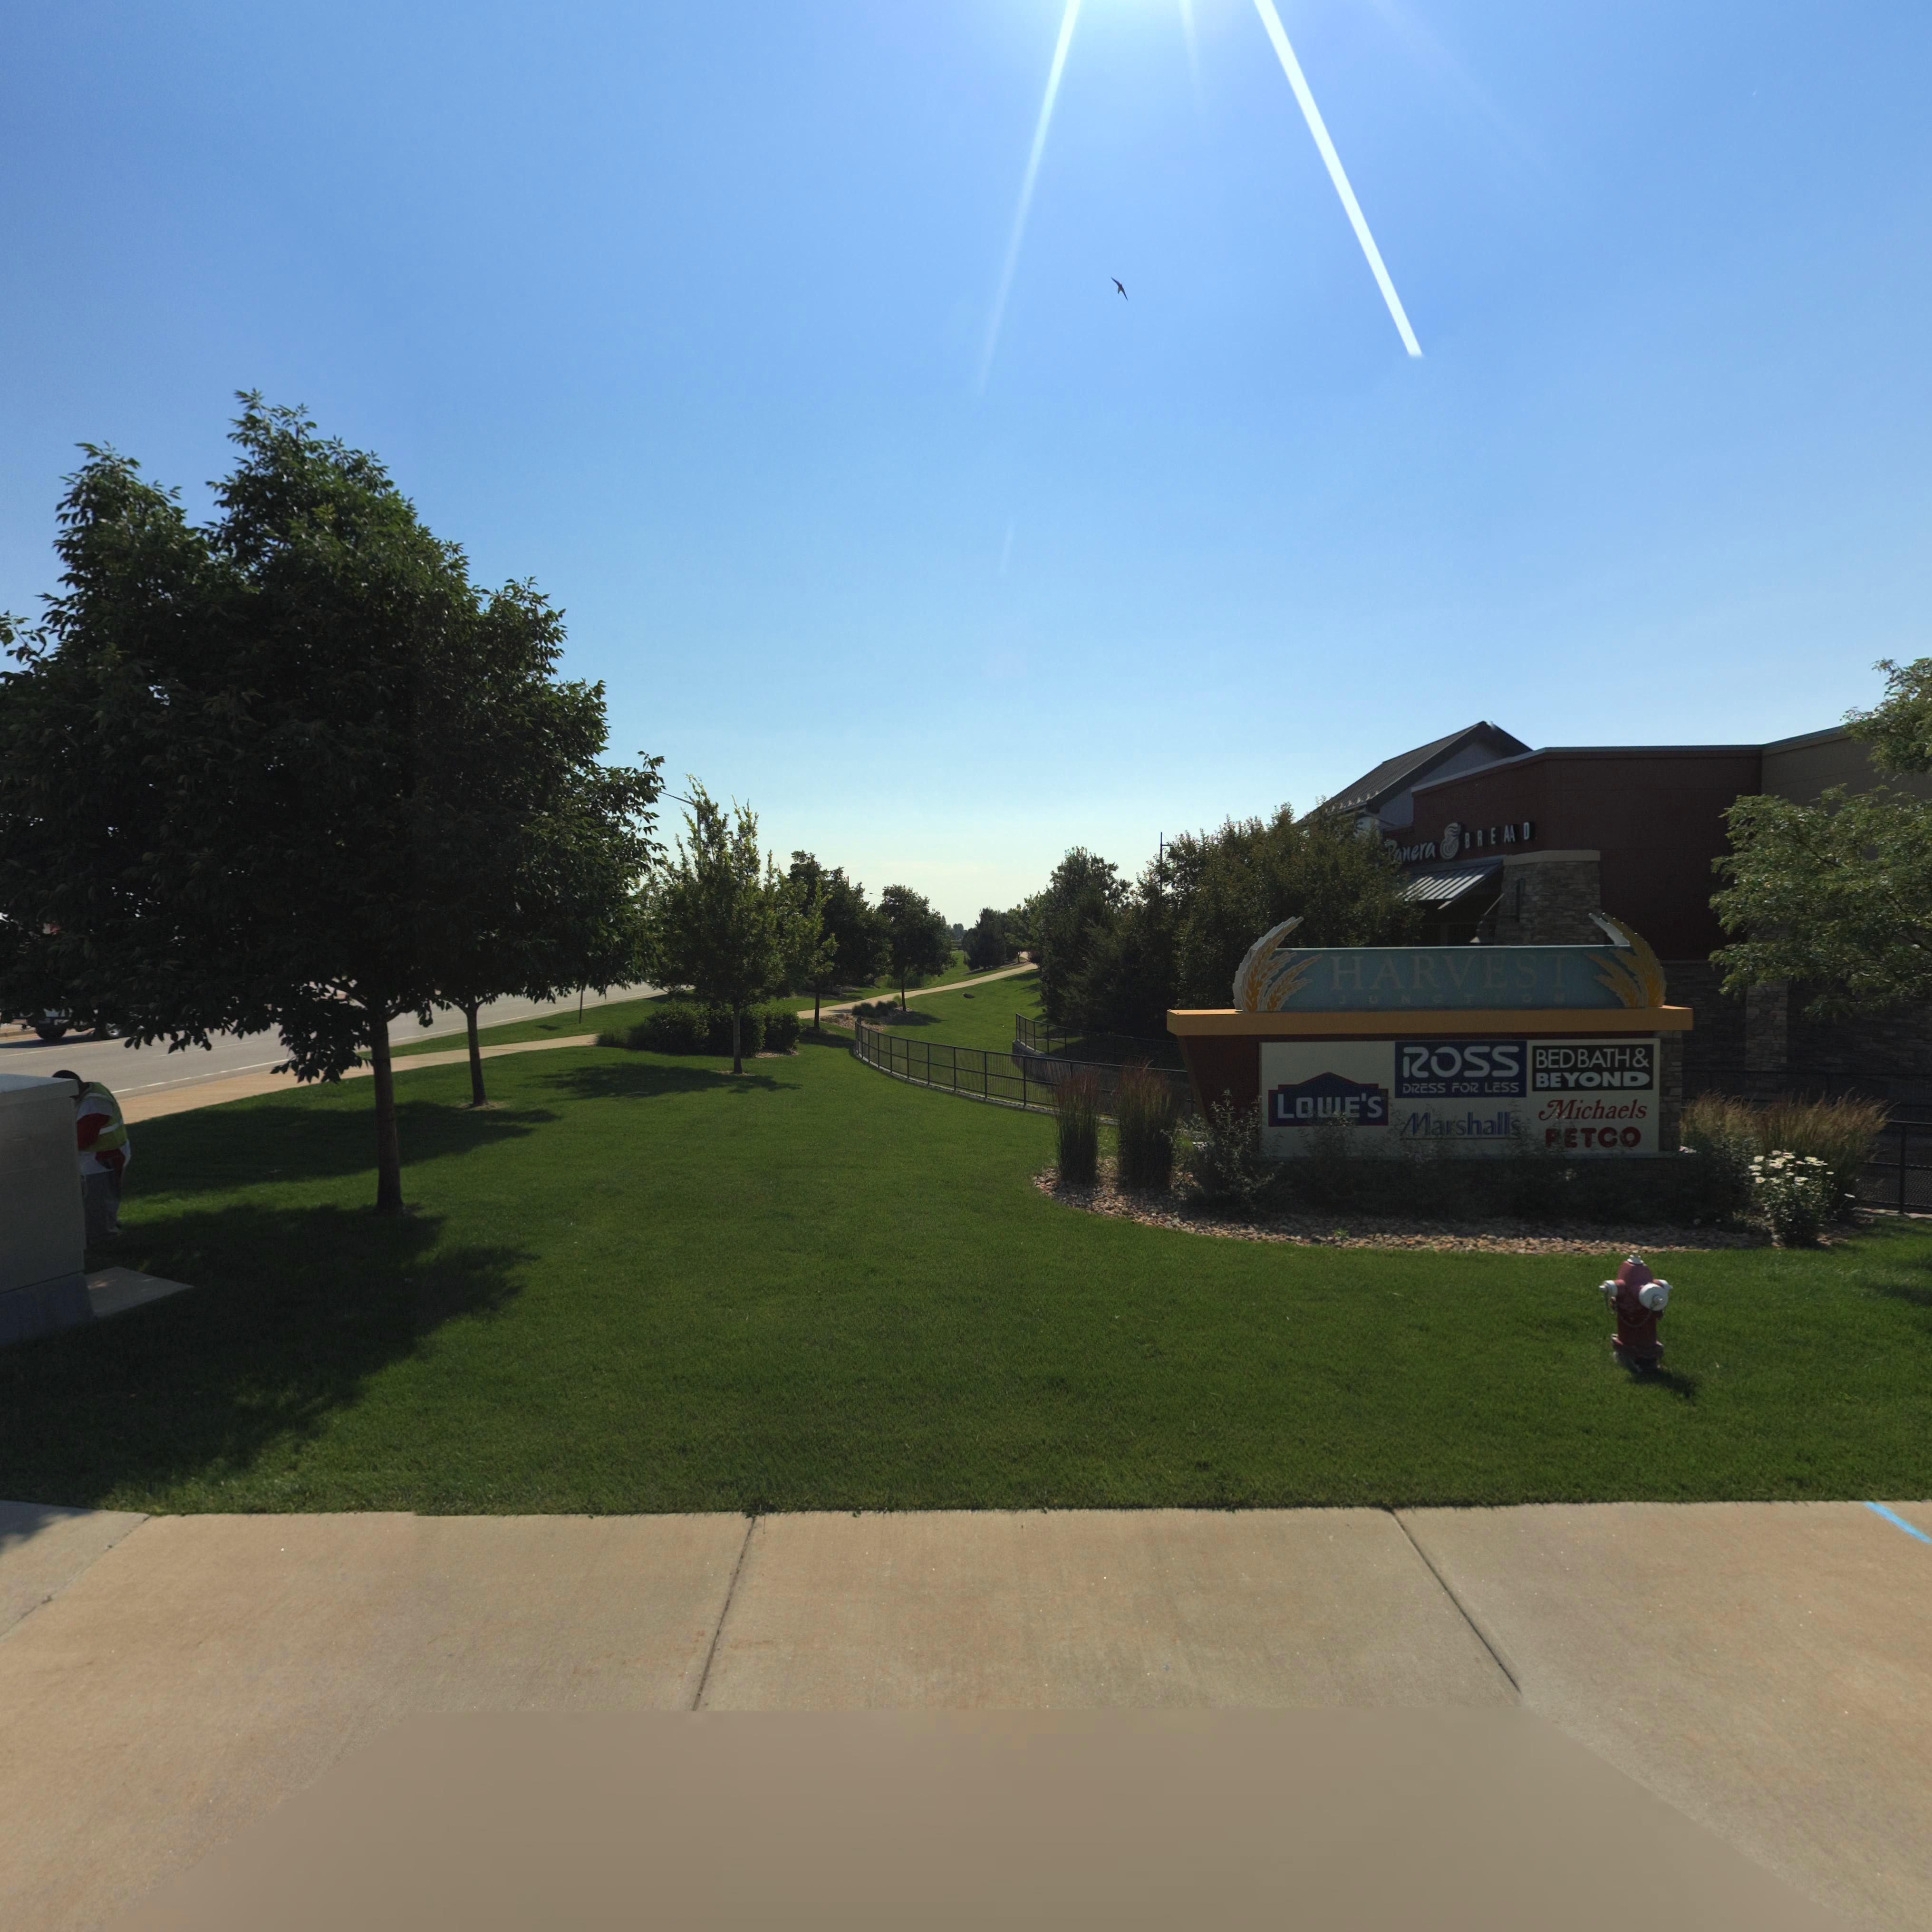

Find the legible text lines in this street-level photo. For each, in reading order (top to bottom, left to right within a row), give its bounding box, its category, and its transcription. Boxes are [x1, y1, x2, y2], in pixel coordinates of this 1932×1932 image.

[1464, 821, 1530, 849] BusinessName: BREAAD
[1383, 839, 1435, 864] BusinessName: *anera
[1402, 1045, 1519, 1078] BusinessName: ROSS
[1536, 1047, 1649, 1068] BusinessName: BED BATH &
[1536, 1071, 1650, 1088] BusinessName: BEYOND
[1277, 1092, 1382, 1119] BusinessName: LOWE'S
[1538, 1098, 1647, 1121] BusinessName: Michaels
[1399, 1111, 1522, 1137] BusinessName: Marshalls
[1545, 1126, 1642, 1149] BusinessName: PETCO